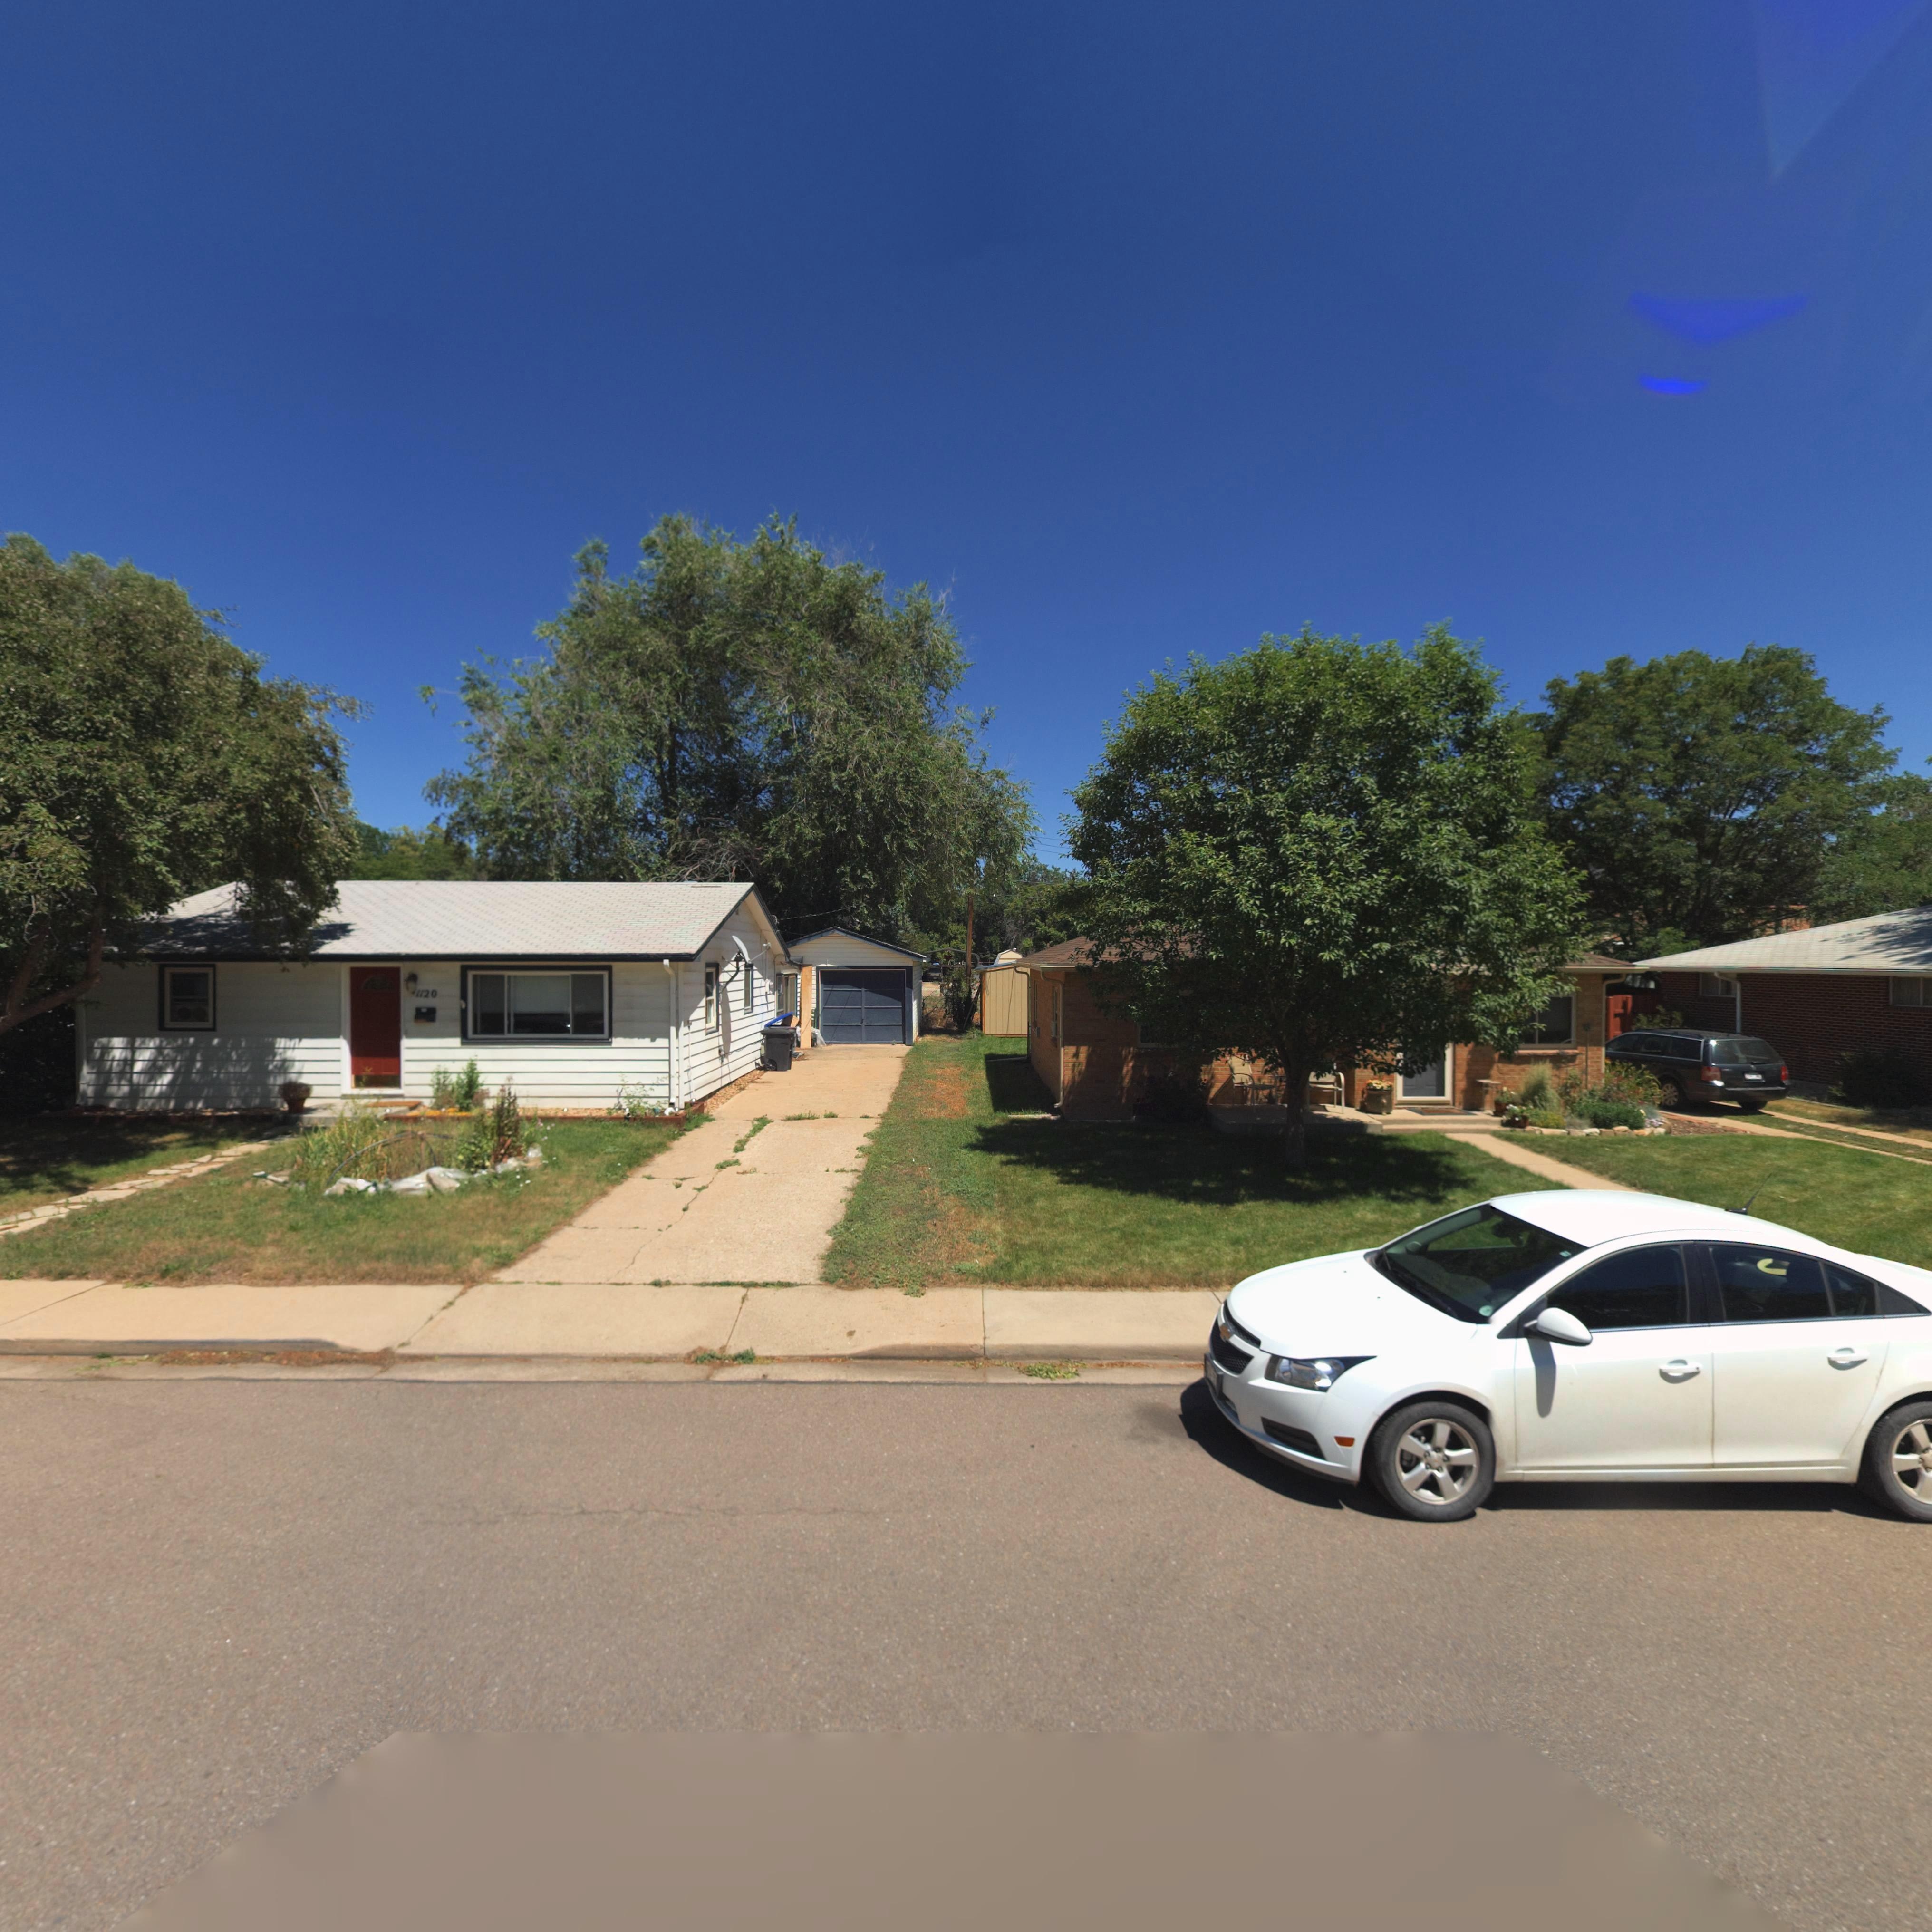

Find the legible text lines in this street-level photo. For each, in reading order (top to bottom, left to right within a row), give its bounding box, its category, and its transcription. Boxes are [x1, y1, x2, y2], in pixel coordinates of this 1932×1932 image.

[415, 989, 437, 998] StreetNumber: 1120